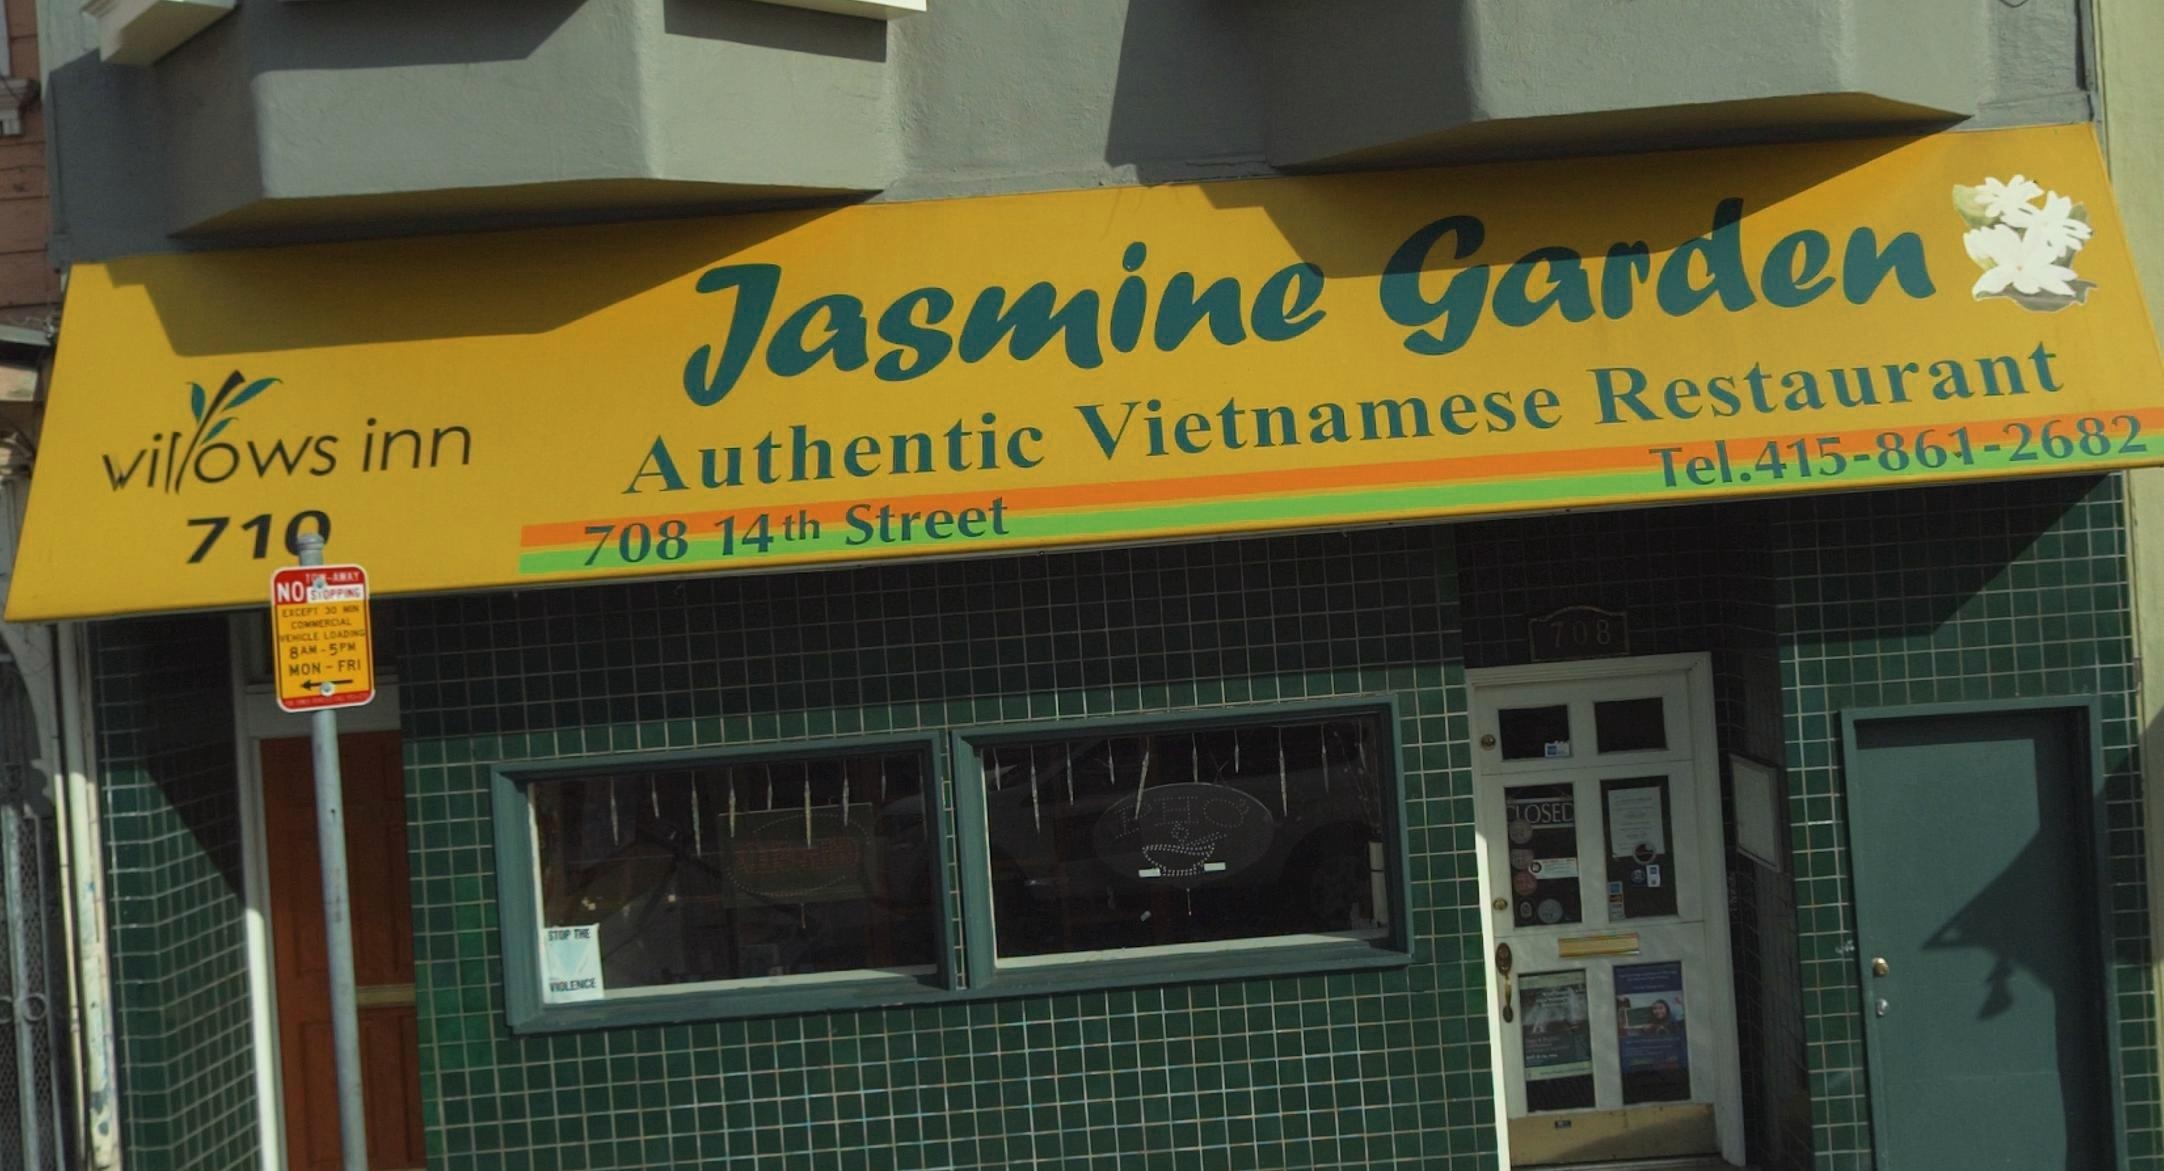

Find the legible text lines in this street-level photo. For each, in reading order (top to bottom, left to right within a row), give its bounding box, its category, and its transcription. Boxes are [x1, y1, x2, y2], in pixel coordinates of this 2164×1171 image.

[656, 177, 1953, 413] BusinessName: Jasmine Garden
[623, 329, 2072, 501] None: Authentic Vietnamese Restaurant
[95, 407, 474, 498] BusinessName: willows inn
[1640, 408, 2156, 492] None: TEL.415-861-2682
[181, 507, 333, 568] StreetNumber: 71*
[577, 519, 696, 574] StreetNumber: 708
[712, 492, 1014, 564] StreetName: 14TH STREET
[303, 570, 362, 586] None: TOW-AWAY
[274, 579, 307, 604] None: NO
[309, 586, 364, 602] None: STOPPING
[290, 615, 353, 631] None: COMMERCIAL
[281, 602, 363, 619] None: EXCEPT 30 MIN
[278, 627, 367, 643] None: VEHICLE LOADING
[1546, 616, 1613, 651] StreetNumber: 708
[287, 640, 359, 661] None: 8AM - 5PM
[287, 657, 364, 678] None: MON - FRI
[1110, 789, 1250, 840] None: PHO
[1504, 800, 1576, 826] None: CLOSED
[732, 831, 865, 885] None: OPEN
[548, 927, 591, 942] None: STOP THE
[548, 977, 597, 993] None: VIOLENCE